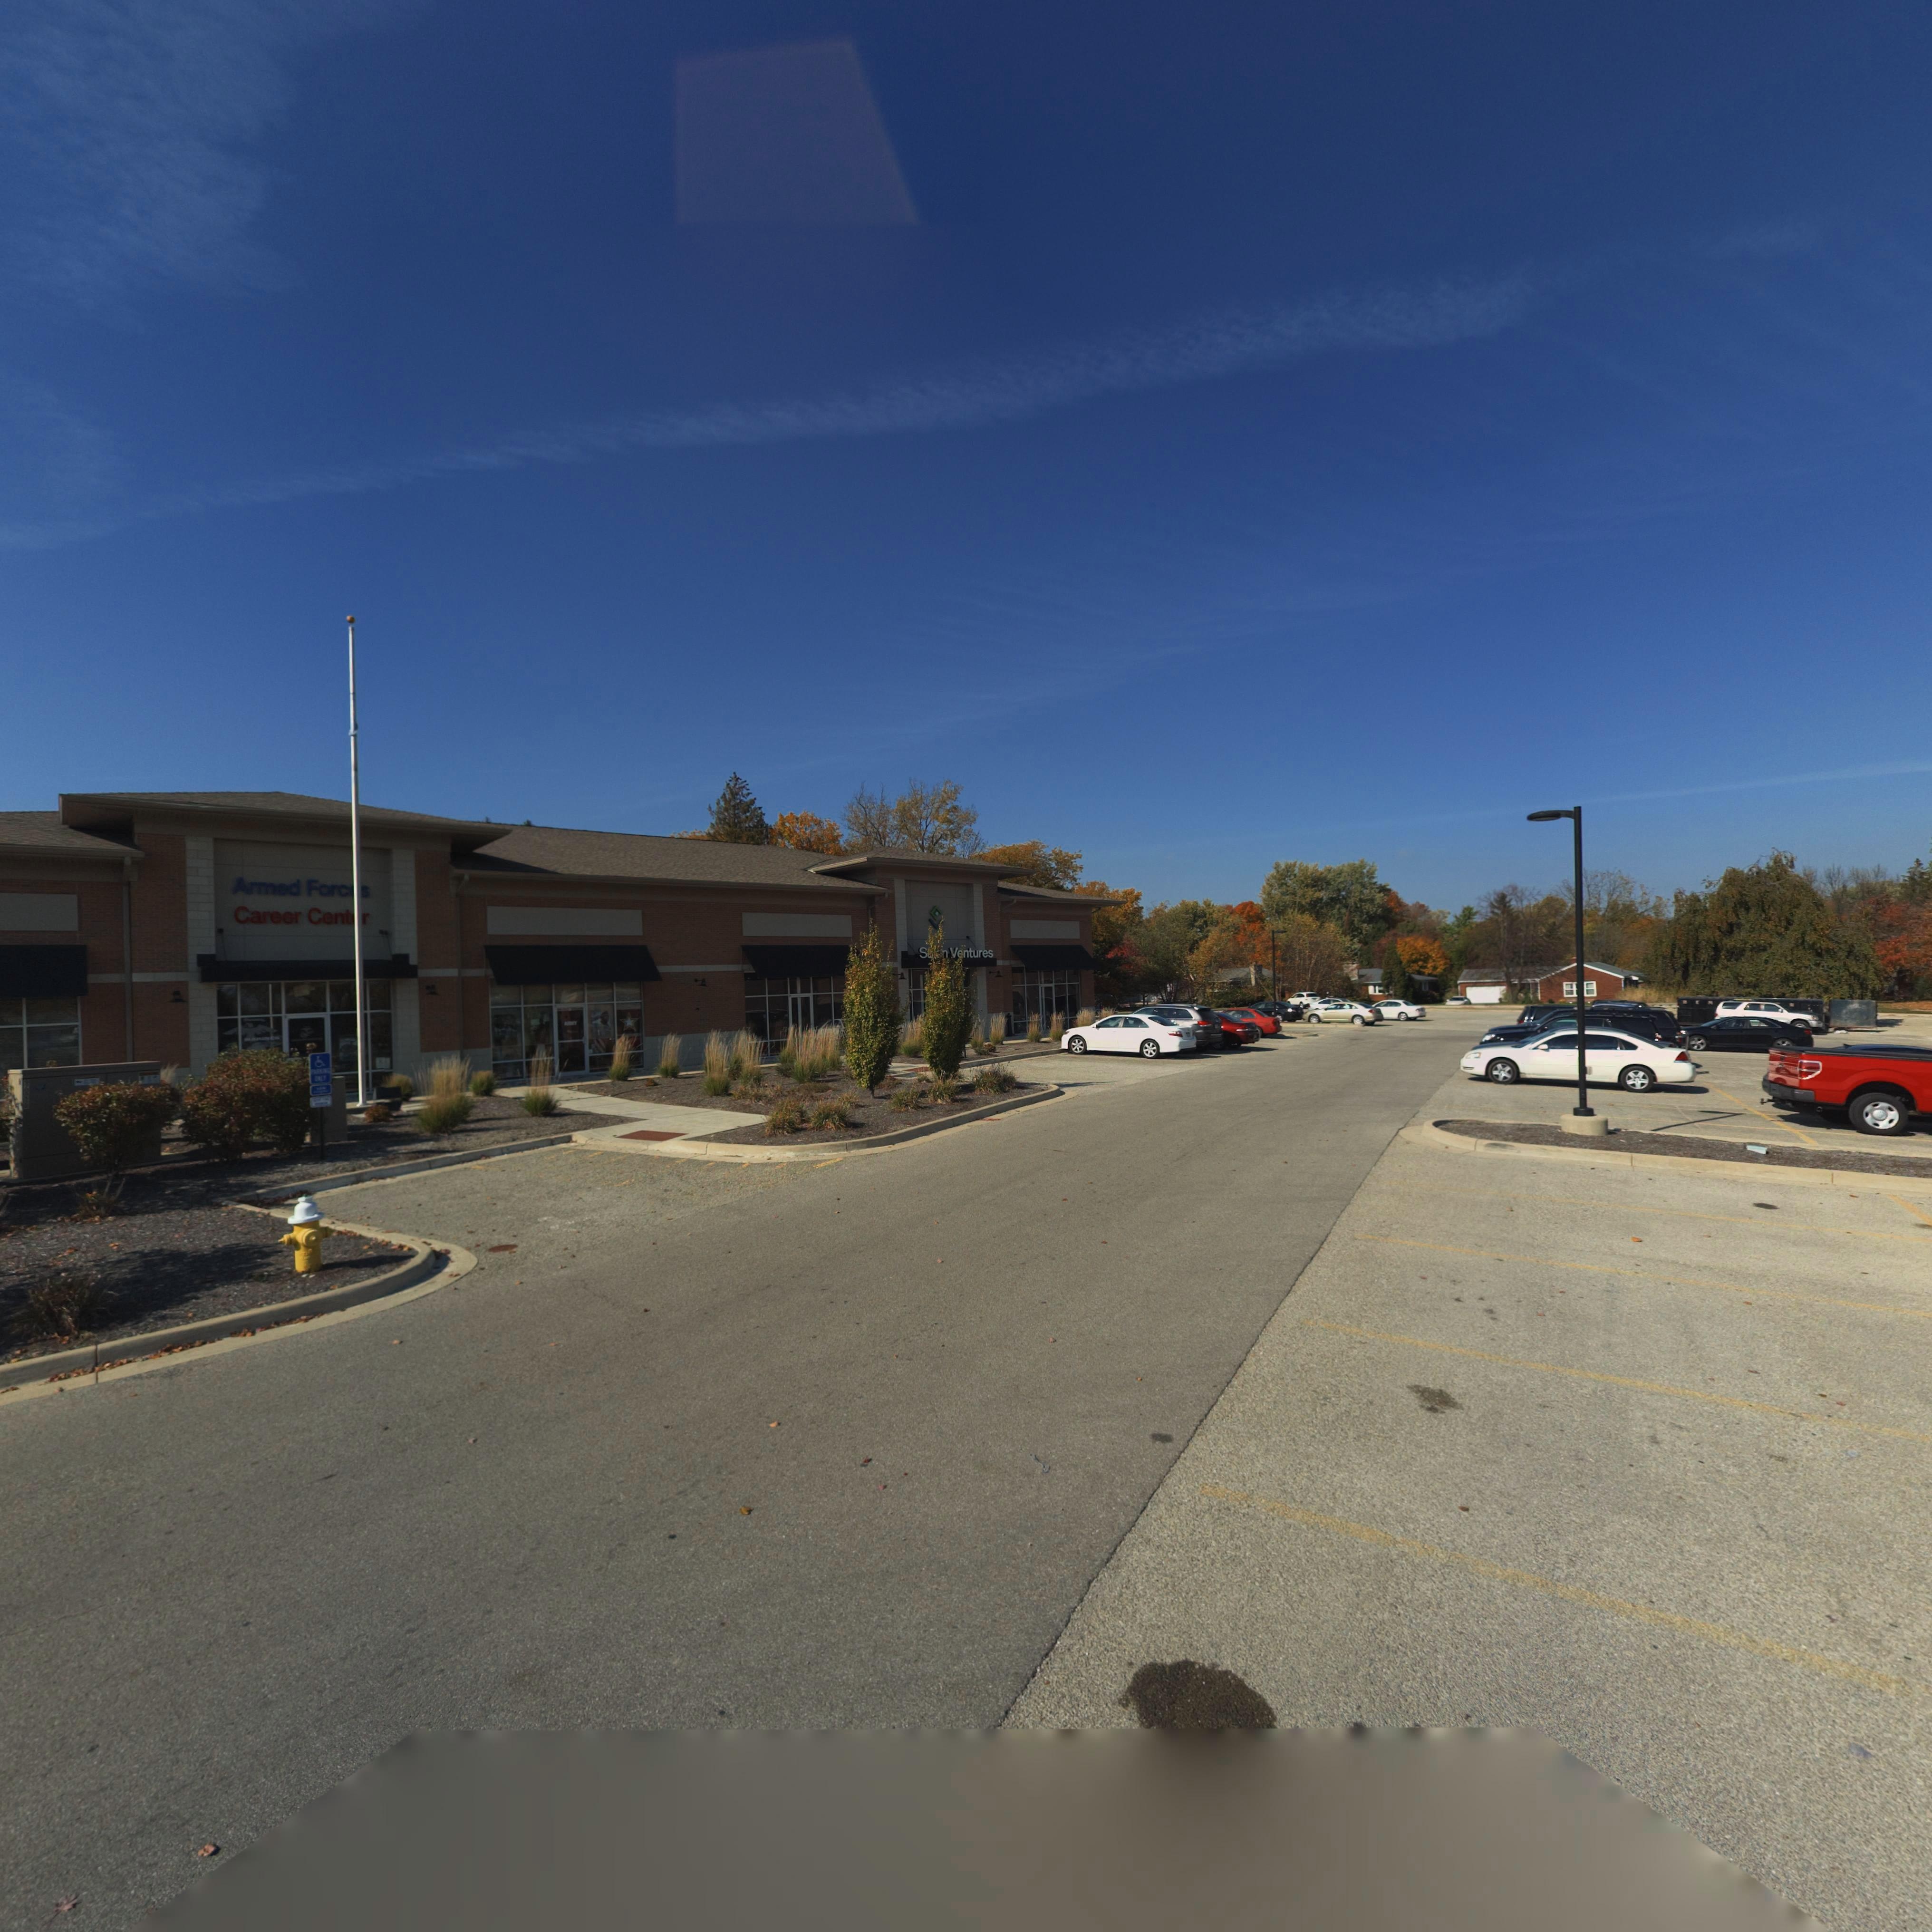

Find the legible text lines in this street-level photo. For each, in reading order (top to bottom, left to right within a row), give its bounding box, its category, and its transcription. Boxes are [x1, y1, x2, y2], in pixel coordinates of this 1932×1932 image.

[230, 874, 372, 898] BusinessName: Armed Forc**
[232, 903, 372, 927] BusinessName: Career Cent*r
[918, 947, 995, 960] BusinessName: S**** V*ntures